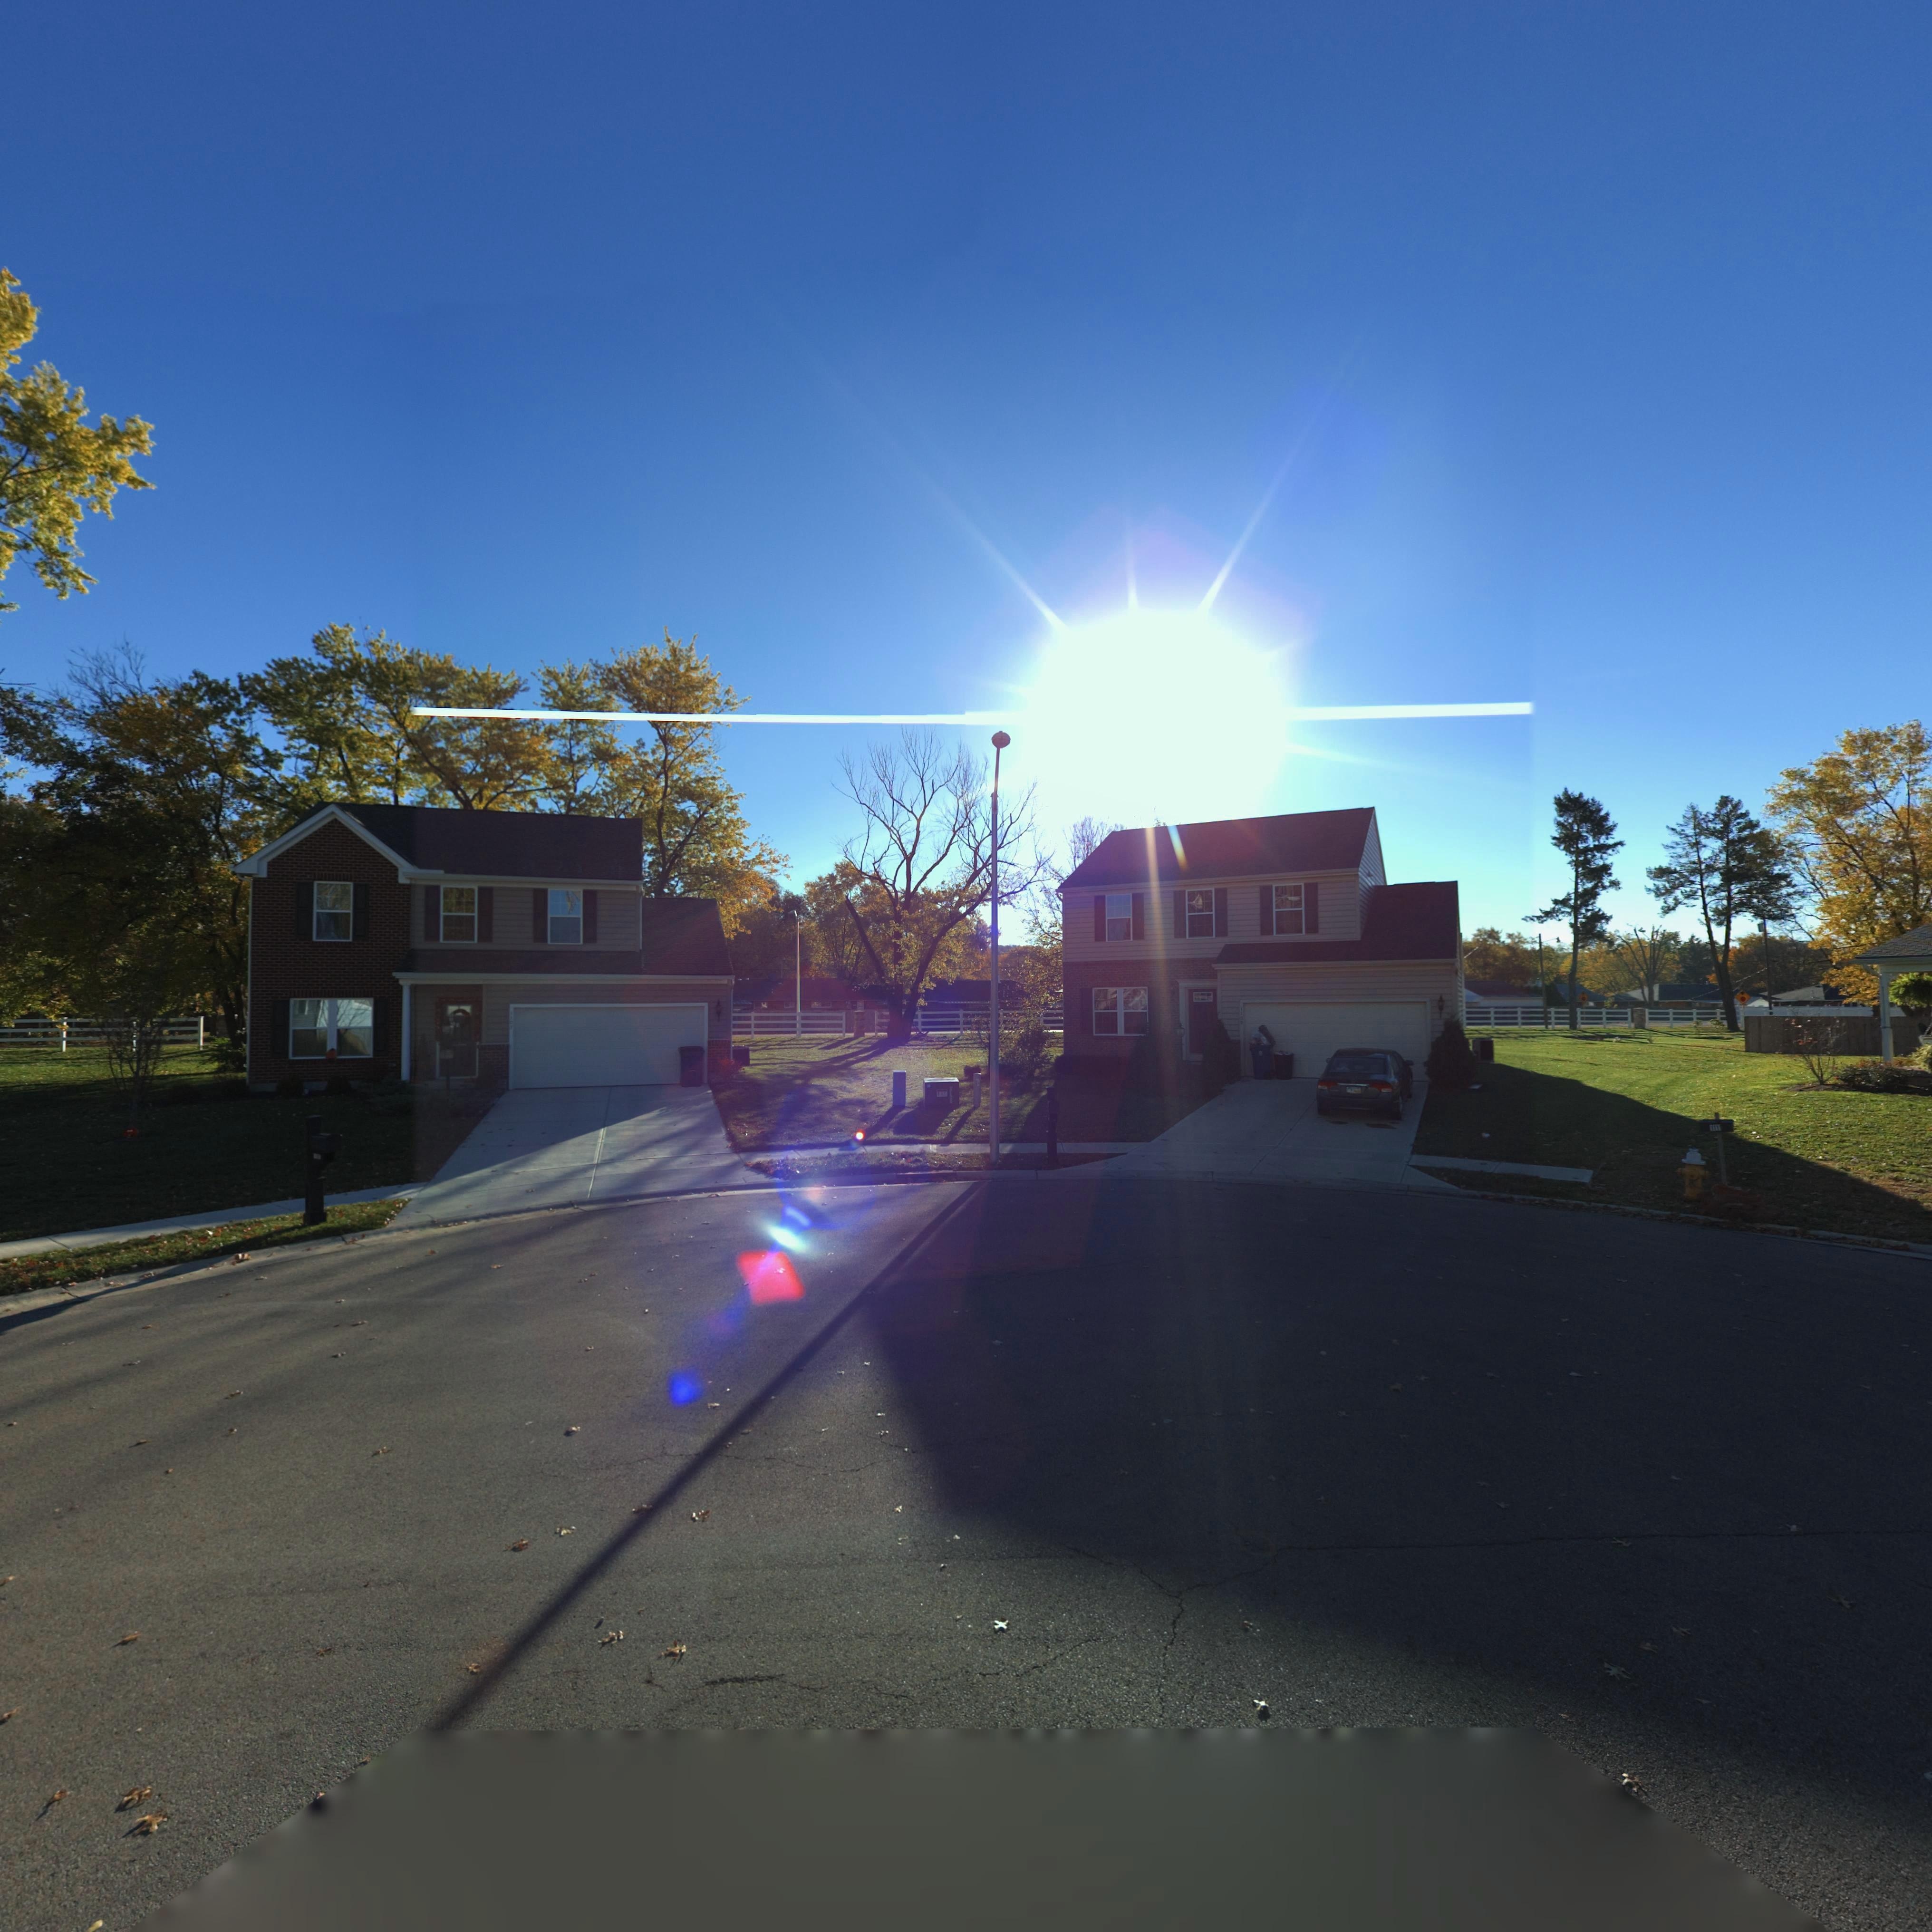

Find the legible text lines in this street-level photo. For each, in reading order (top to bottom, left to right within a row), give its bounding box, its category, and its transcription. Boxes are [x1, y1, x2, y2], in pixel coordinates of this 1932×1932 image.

[509, 1010, 514, 1031] StreetNumber: 110*
[1239, 1006, 1243, 1025] StreetNumber: 1109
[1709, 1124, 1722, 1131] StreetNumber: 11*1